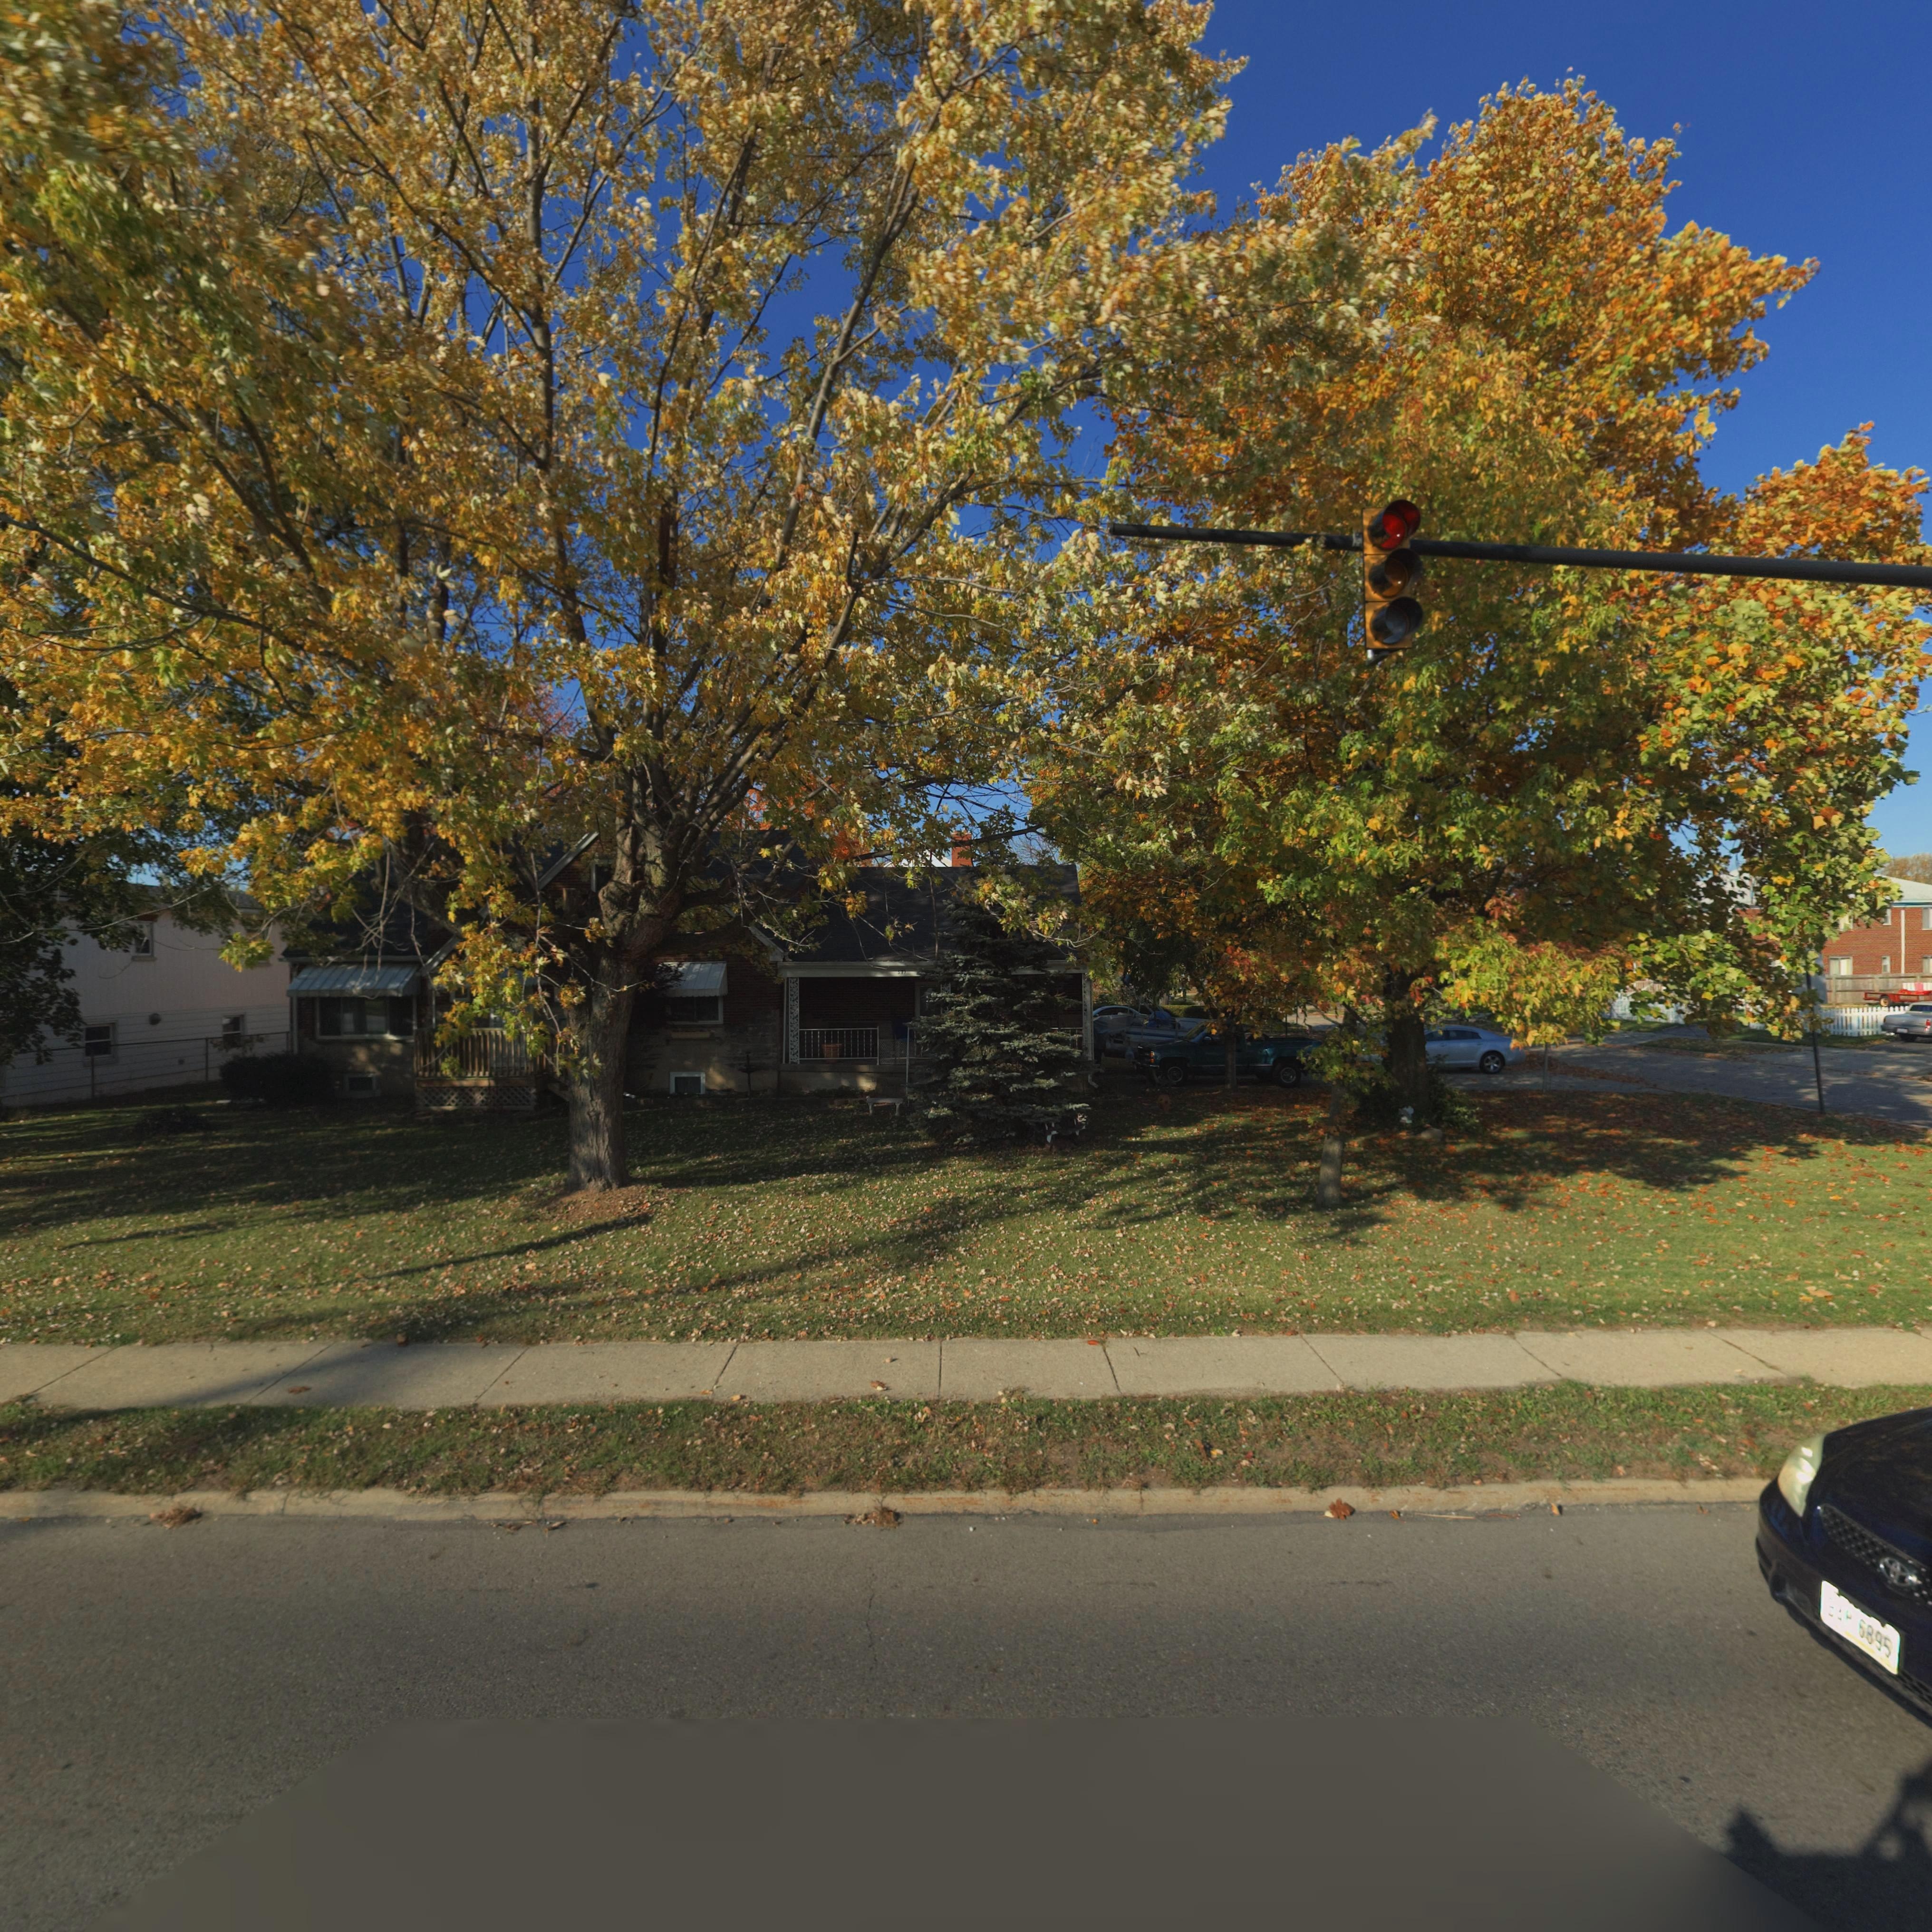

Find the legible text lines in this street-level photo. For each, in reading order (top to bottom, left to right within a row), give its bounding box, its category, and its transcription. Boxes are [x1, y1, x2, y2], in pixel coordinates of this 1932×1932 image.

[898, 970, 906, 975] StreetNumber: 573